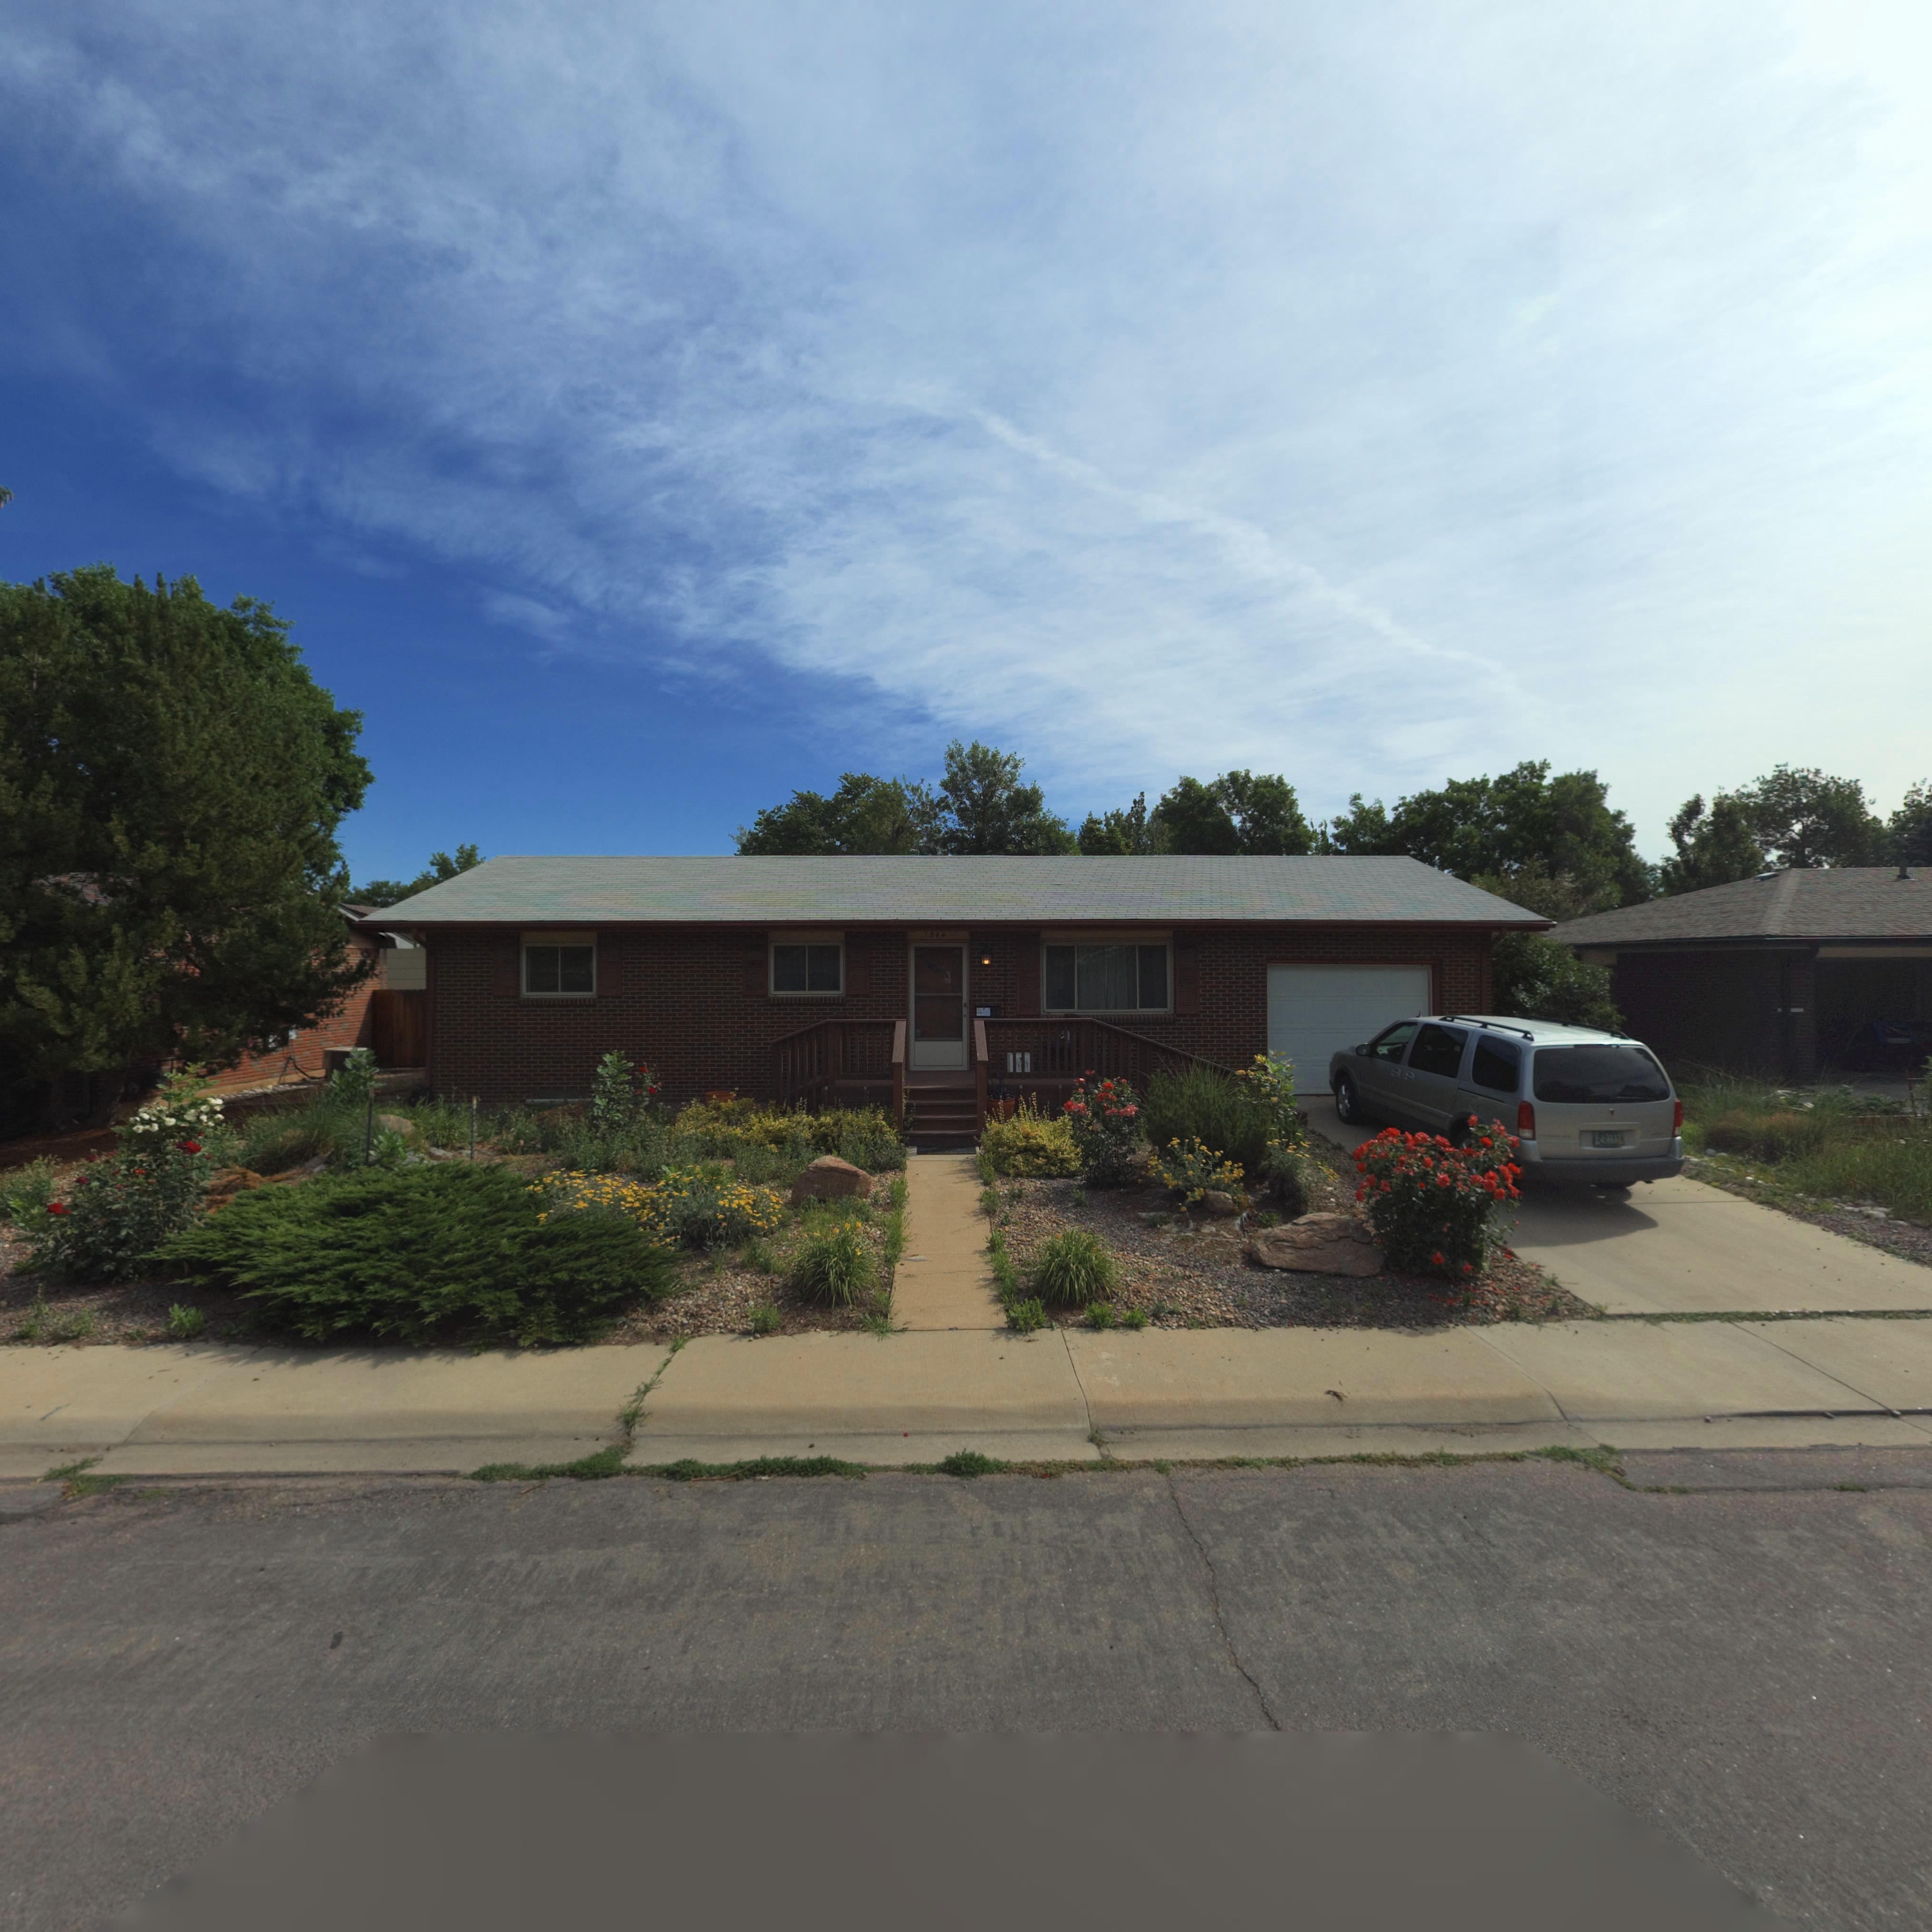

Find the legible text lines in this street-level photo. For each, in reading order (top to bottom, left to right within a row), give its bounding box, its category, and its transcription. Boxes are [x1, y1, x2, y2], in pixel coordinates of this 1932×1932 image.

[925, 931, 945, 938] StreetNumber: 1844